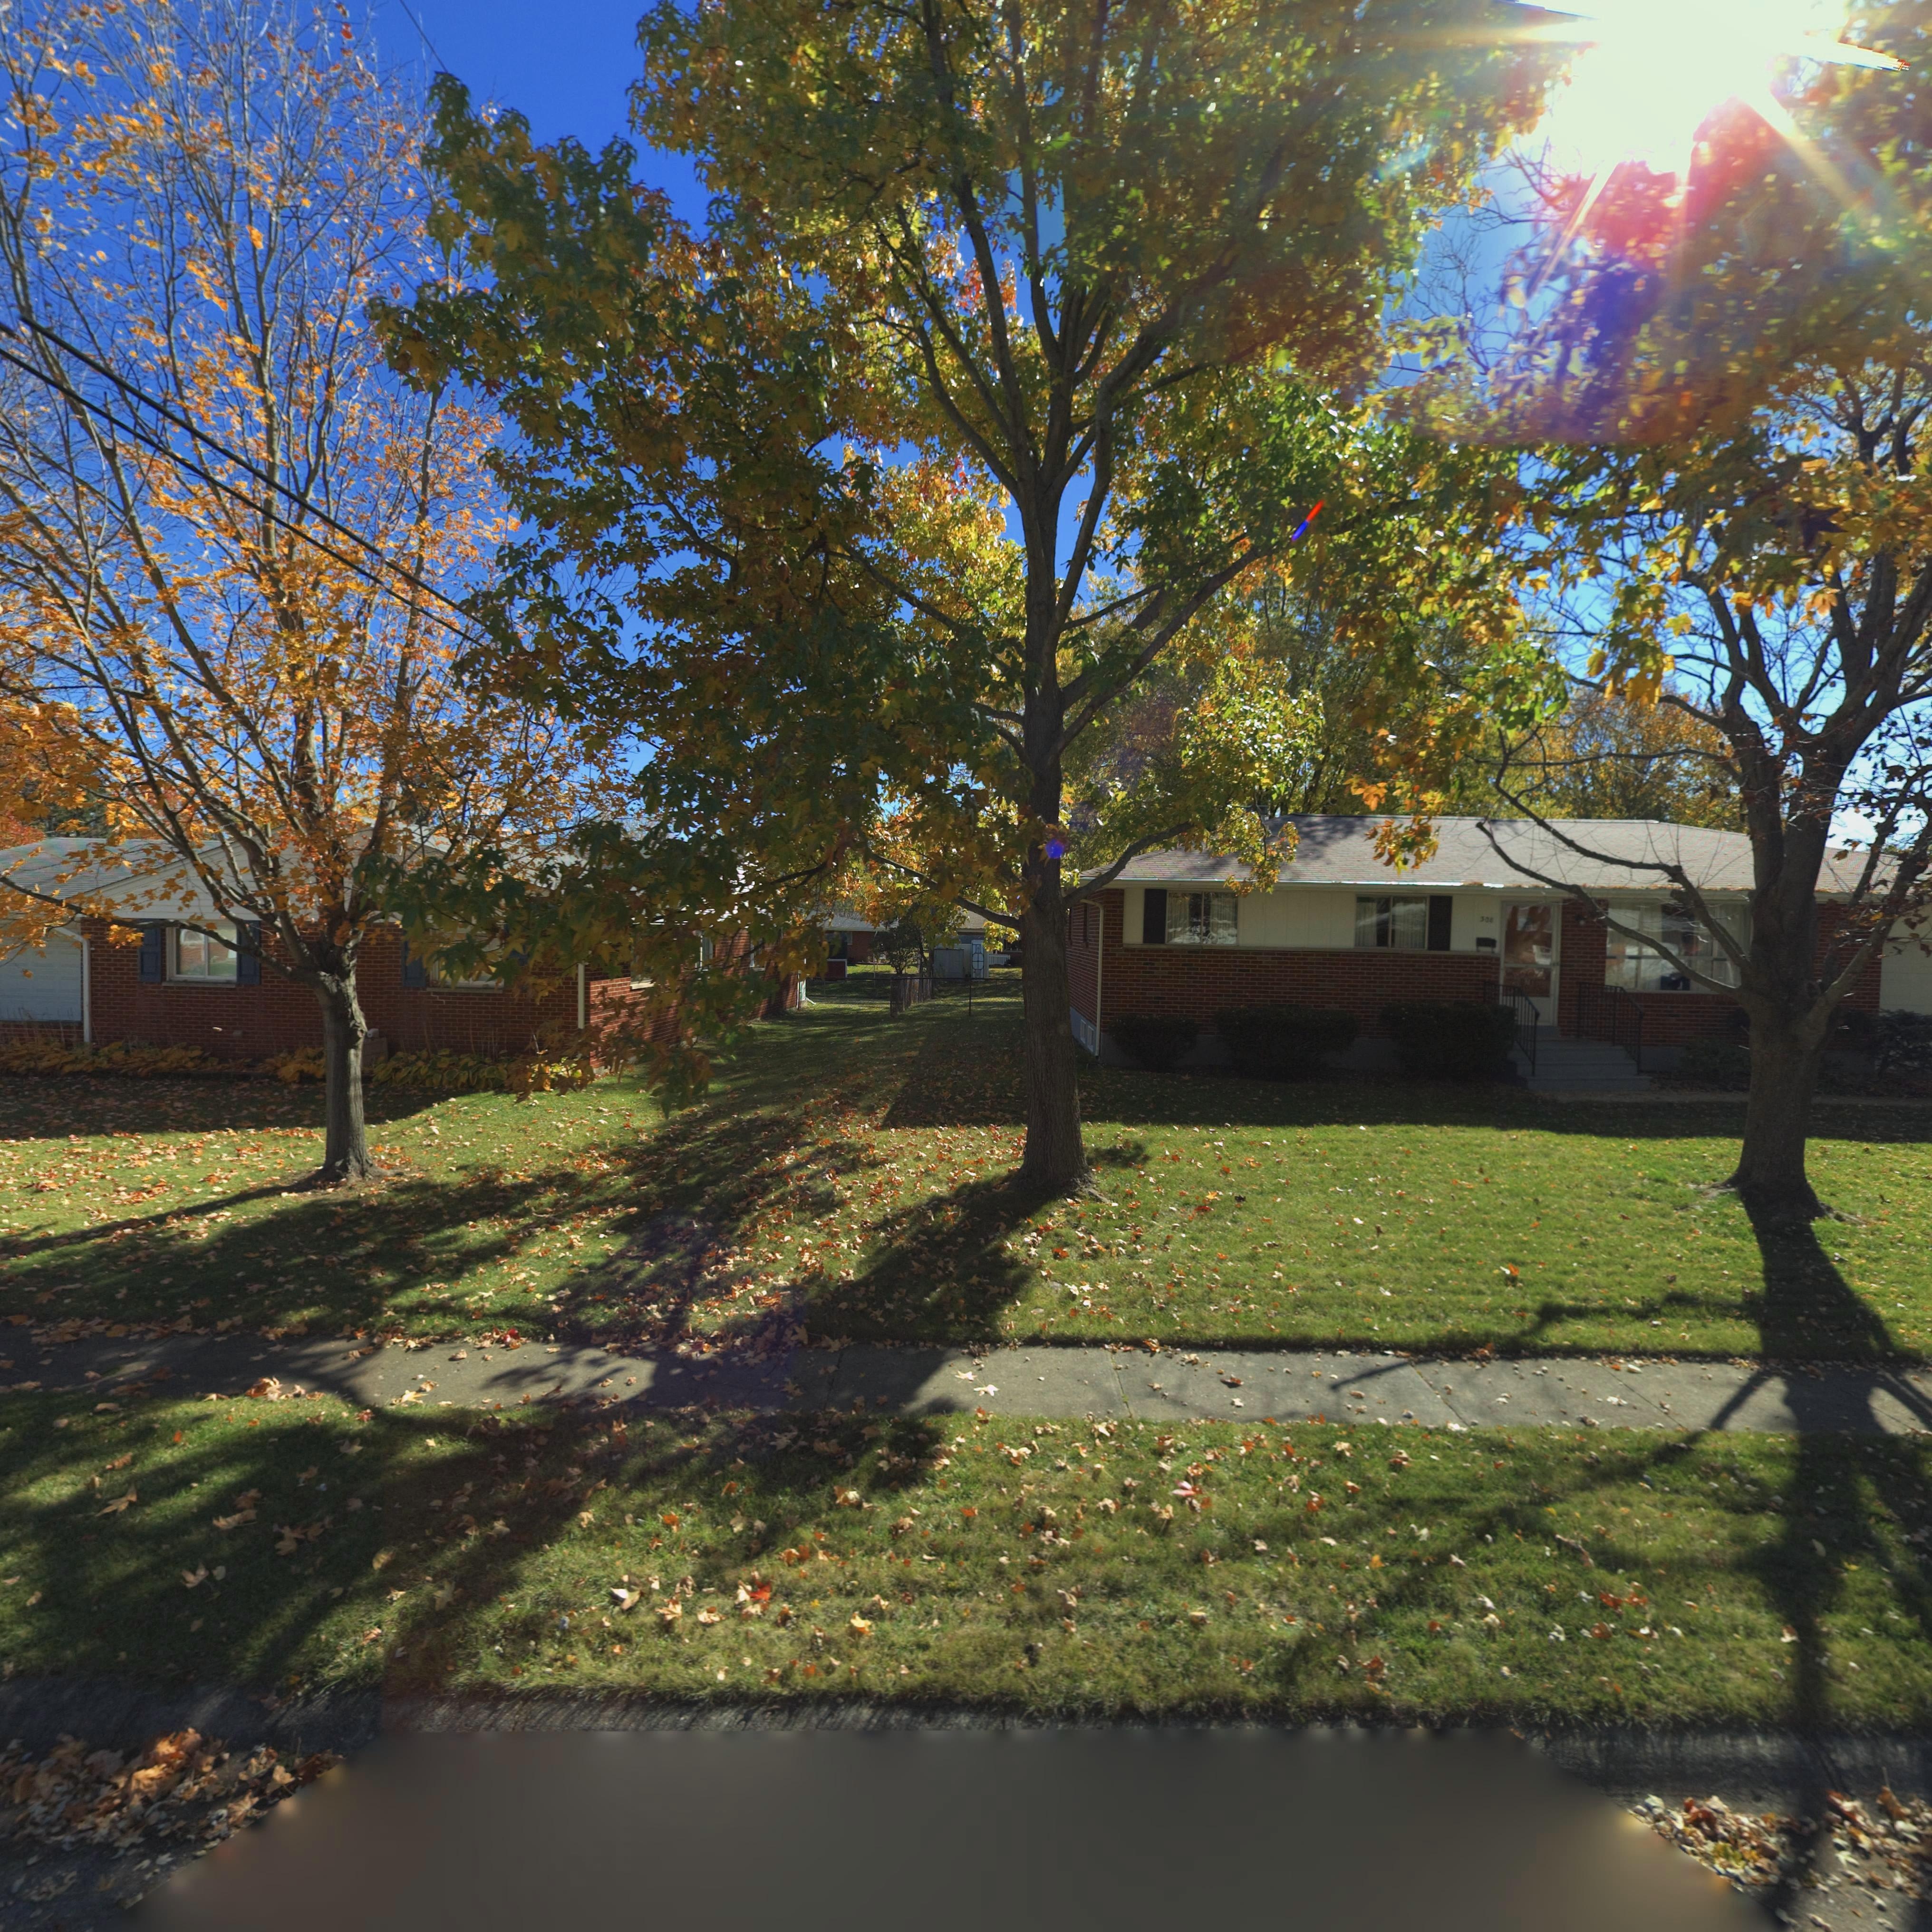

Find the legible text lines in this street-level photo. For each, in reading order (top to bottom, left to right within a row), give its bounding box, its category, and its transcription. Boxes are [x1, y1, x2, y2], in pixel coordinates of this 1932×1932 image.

[1478, 915, 1495, 925] StreetNumber: *0*